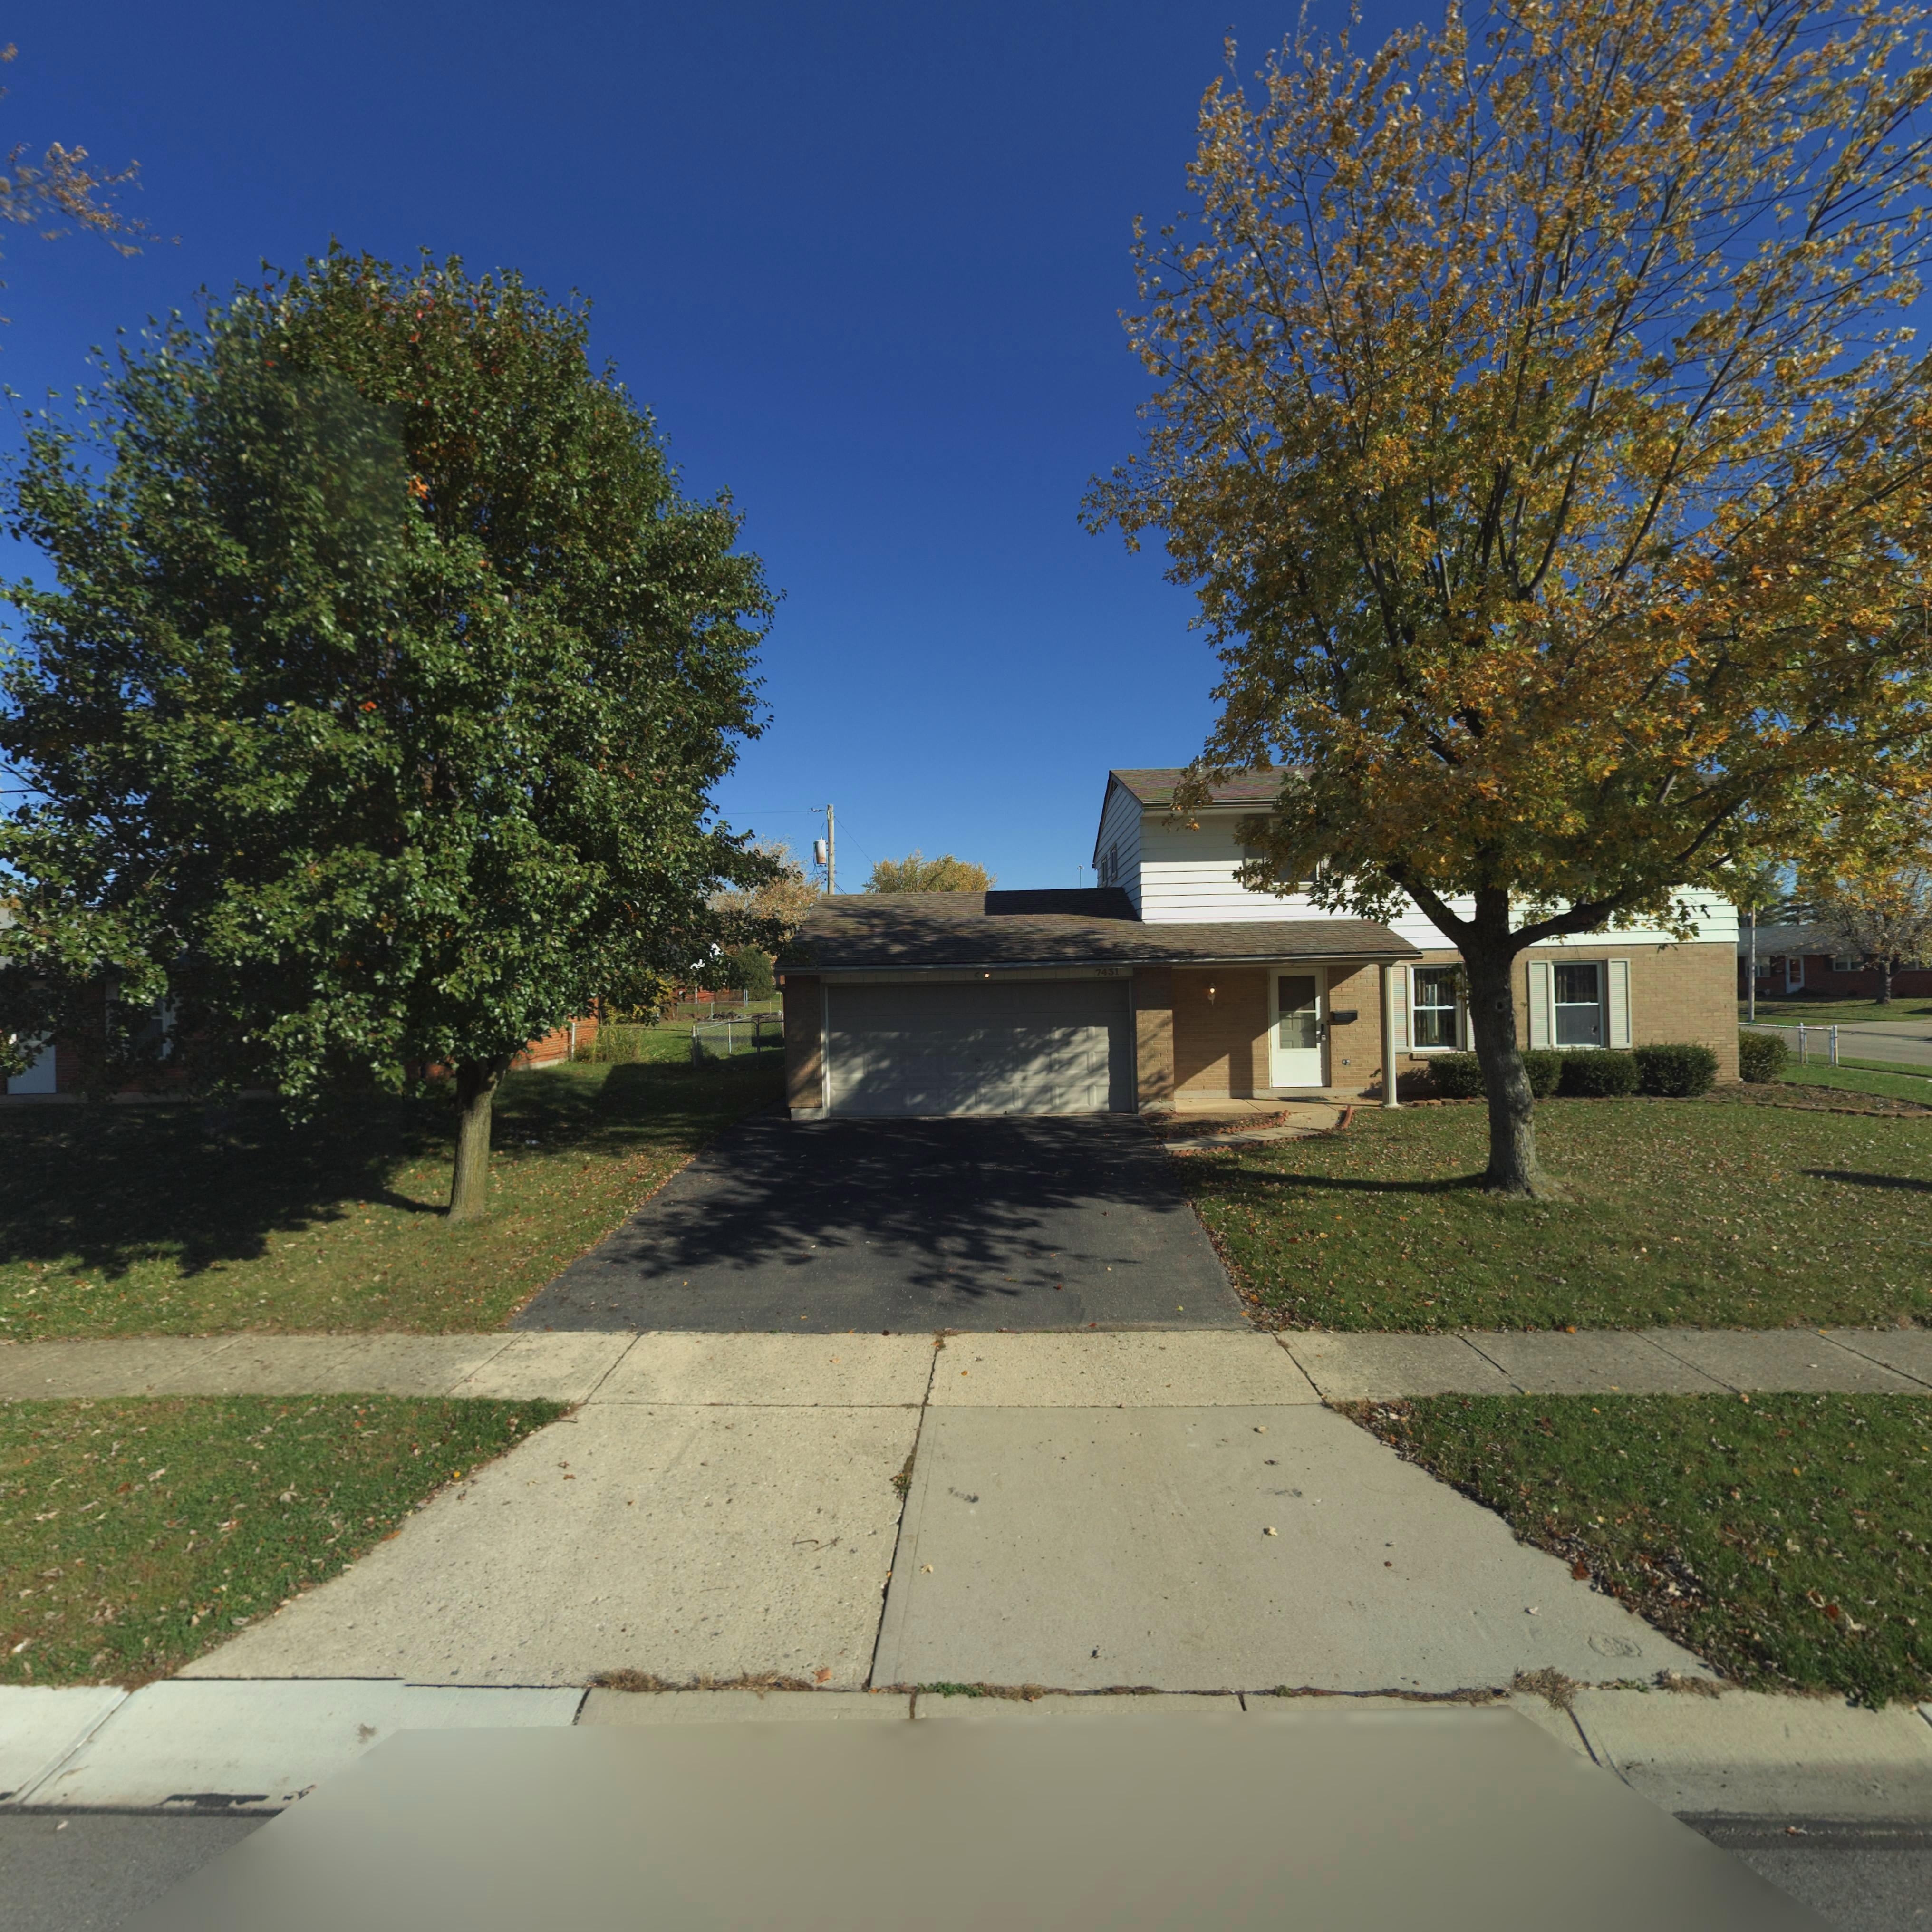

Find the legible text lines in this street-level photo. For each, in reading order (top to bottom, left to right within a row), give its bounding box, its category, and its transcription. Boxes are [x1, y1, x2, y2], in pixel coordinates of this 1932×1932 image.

[1093, 967, 1121, 977] StreetNumber: 7431